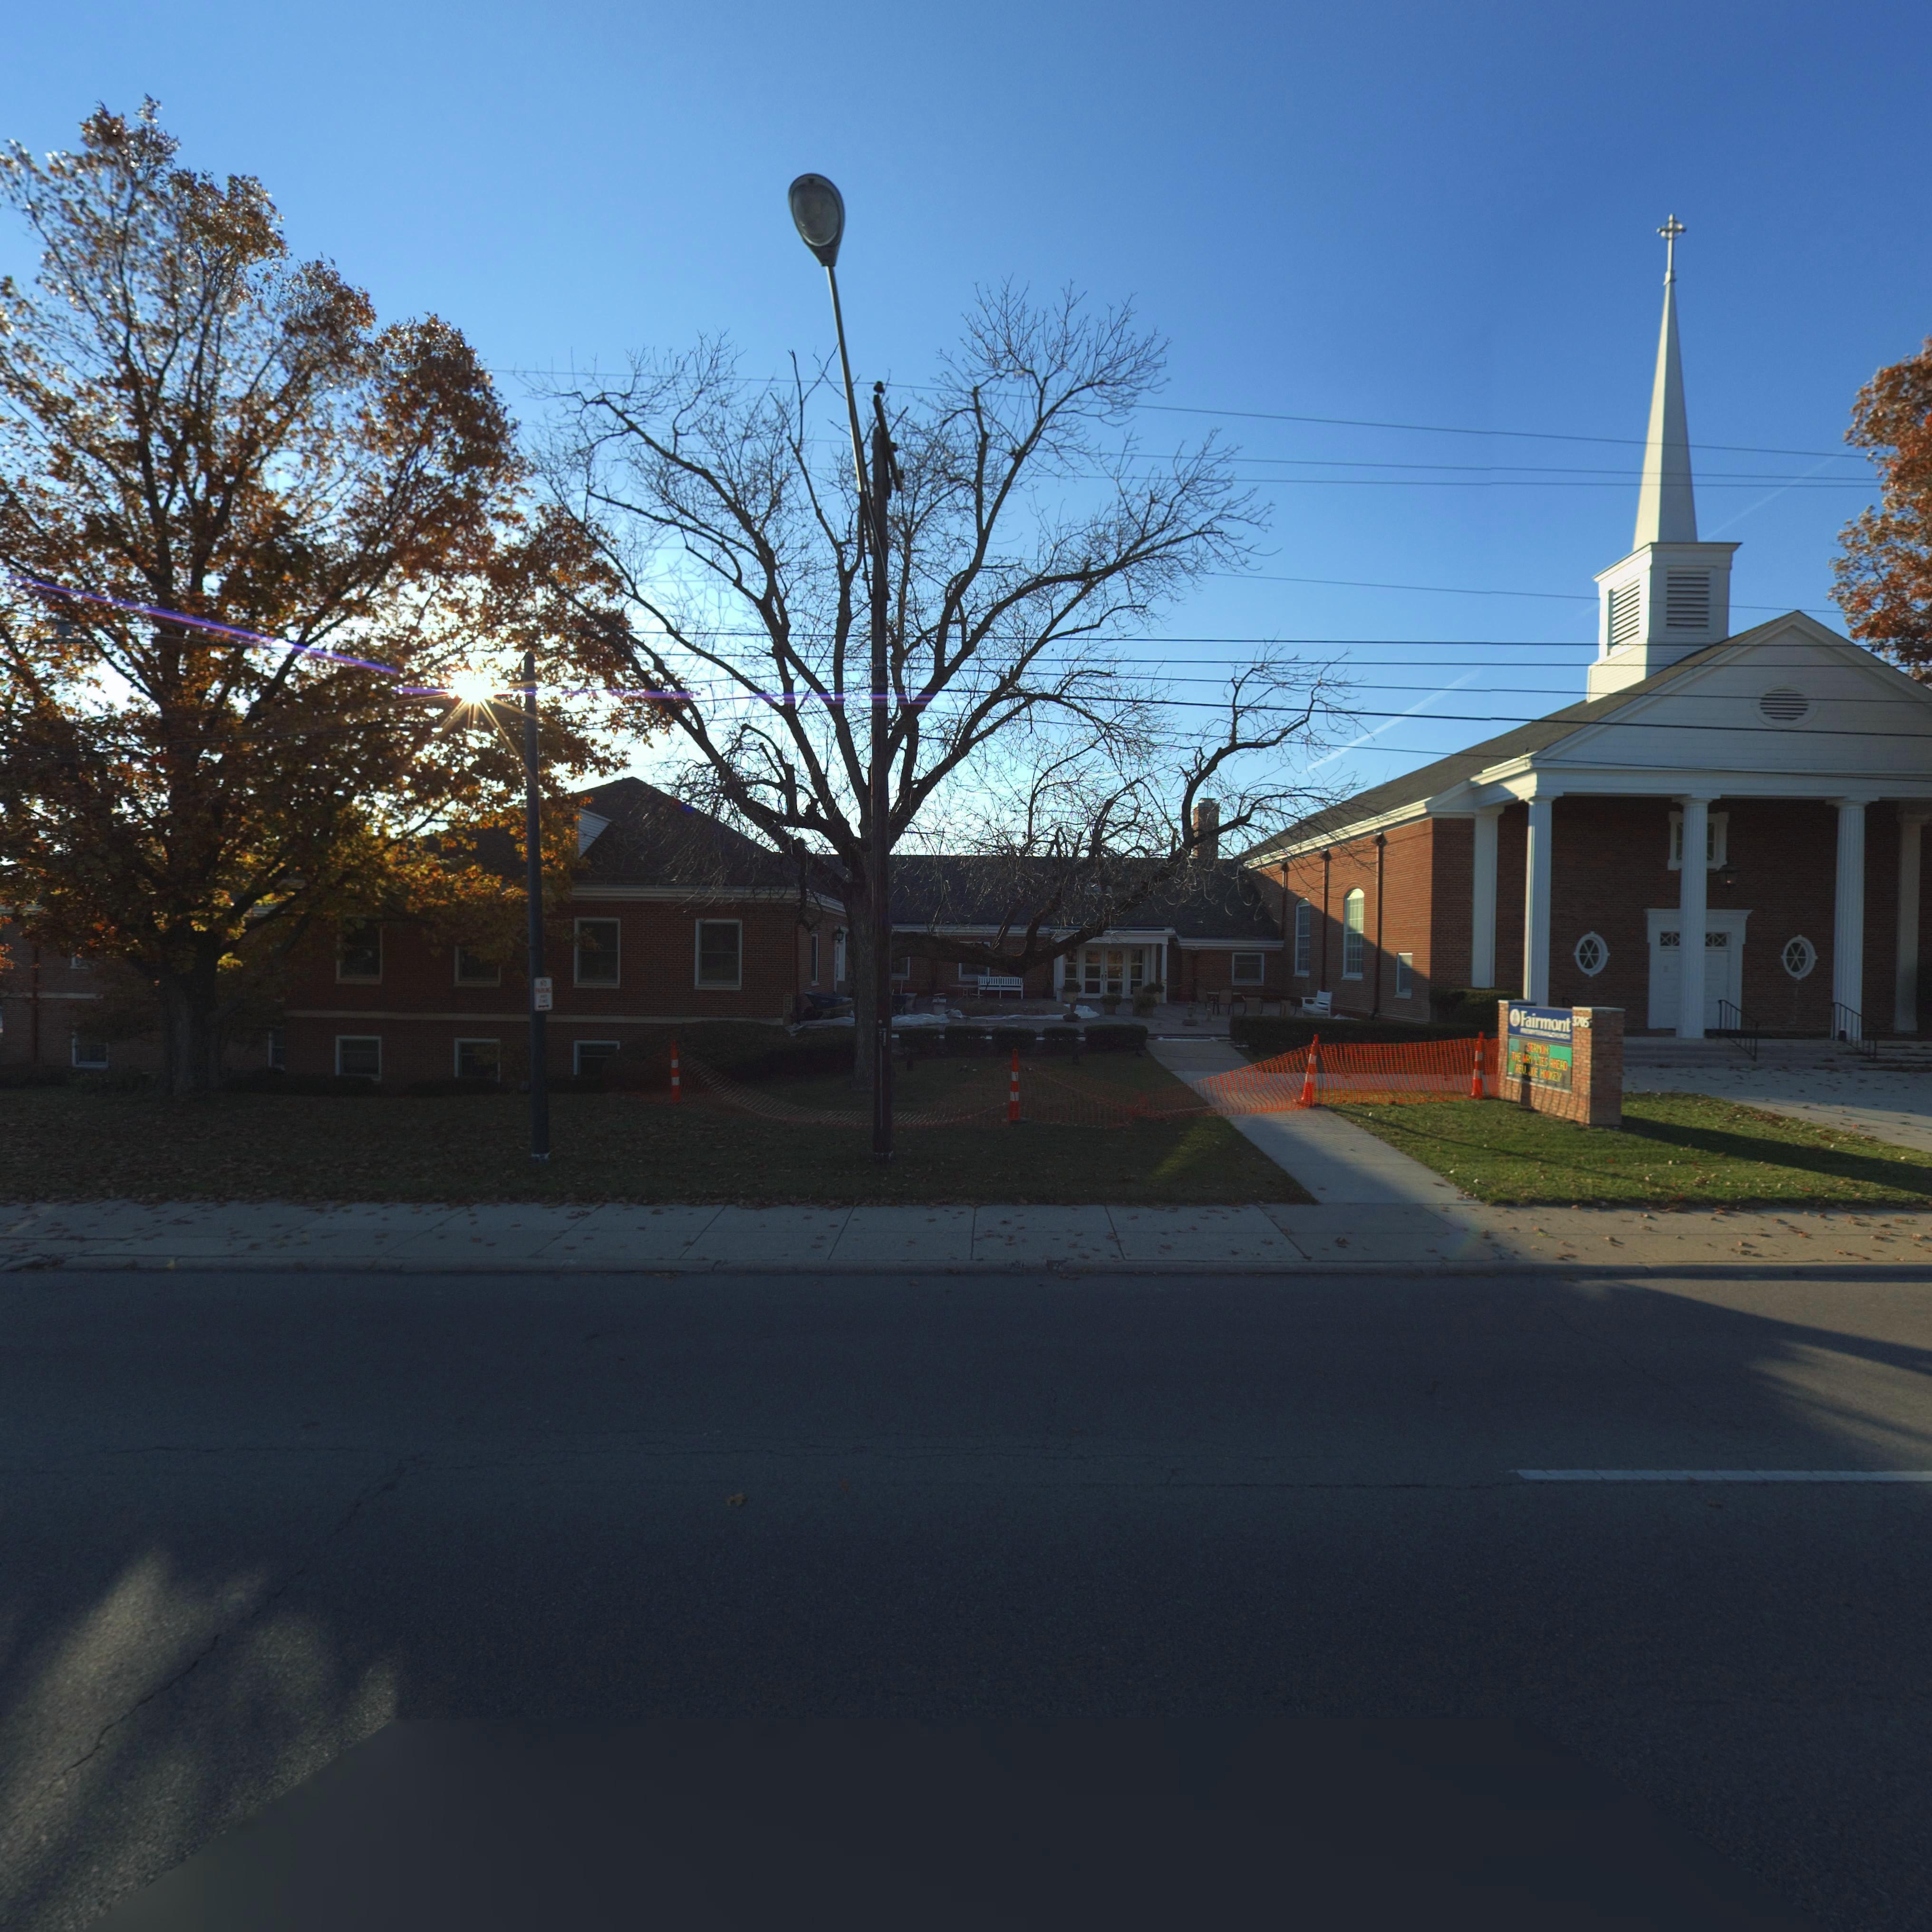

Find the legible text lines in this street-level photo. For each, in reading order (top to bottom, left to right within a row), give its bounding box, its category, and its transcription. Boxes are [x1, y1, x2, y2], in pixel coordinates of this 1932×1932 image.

[1519, 1010, 1572, 1034] BusinessName: Fairmont
[1570, 1014, 1591, 1030] StreetNumber: 3705